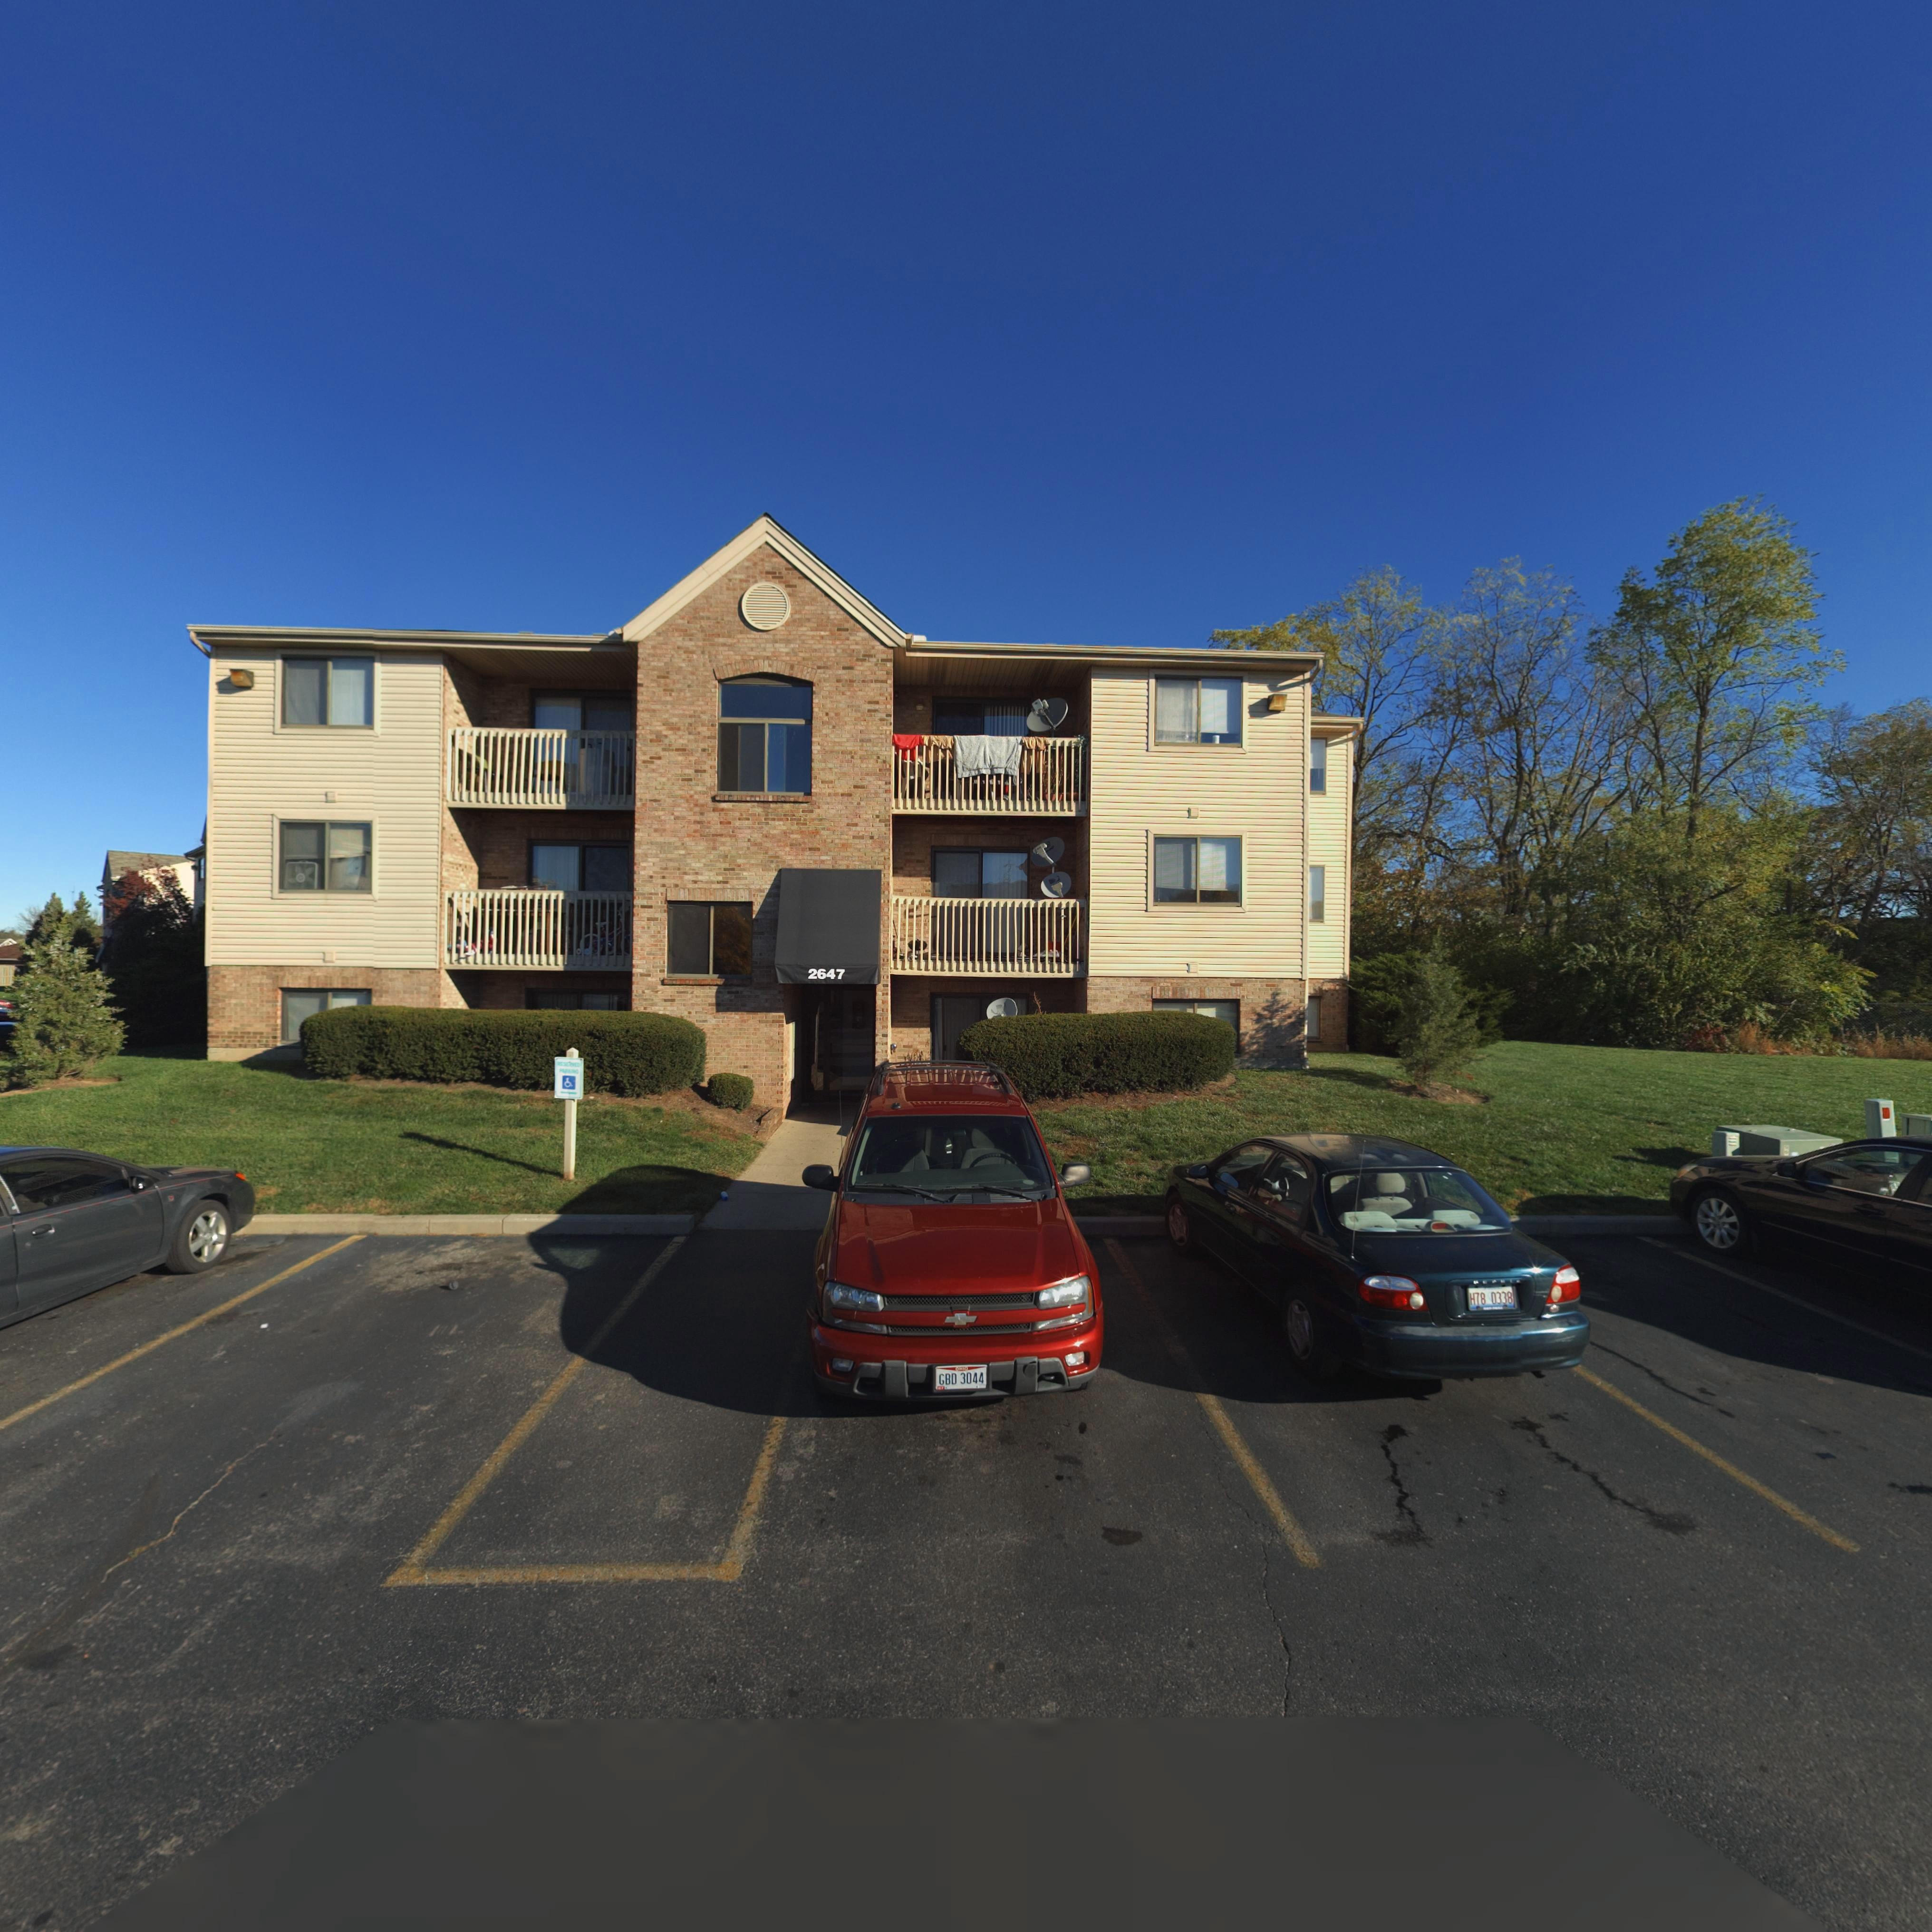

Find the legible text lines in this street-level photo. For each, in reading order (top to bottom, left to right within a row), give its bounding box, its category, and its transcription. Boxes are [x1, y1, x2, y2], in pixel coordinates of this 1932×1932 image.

[806, 966, 848, 981] StreetNumber: 2647